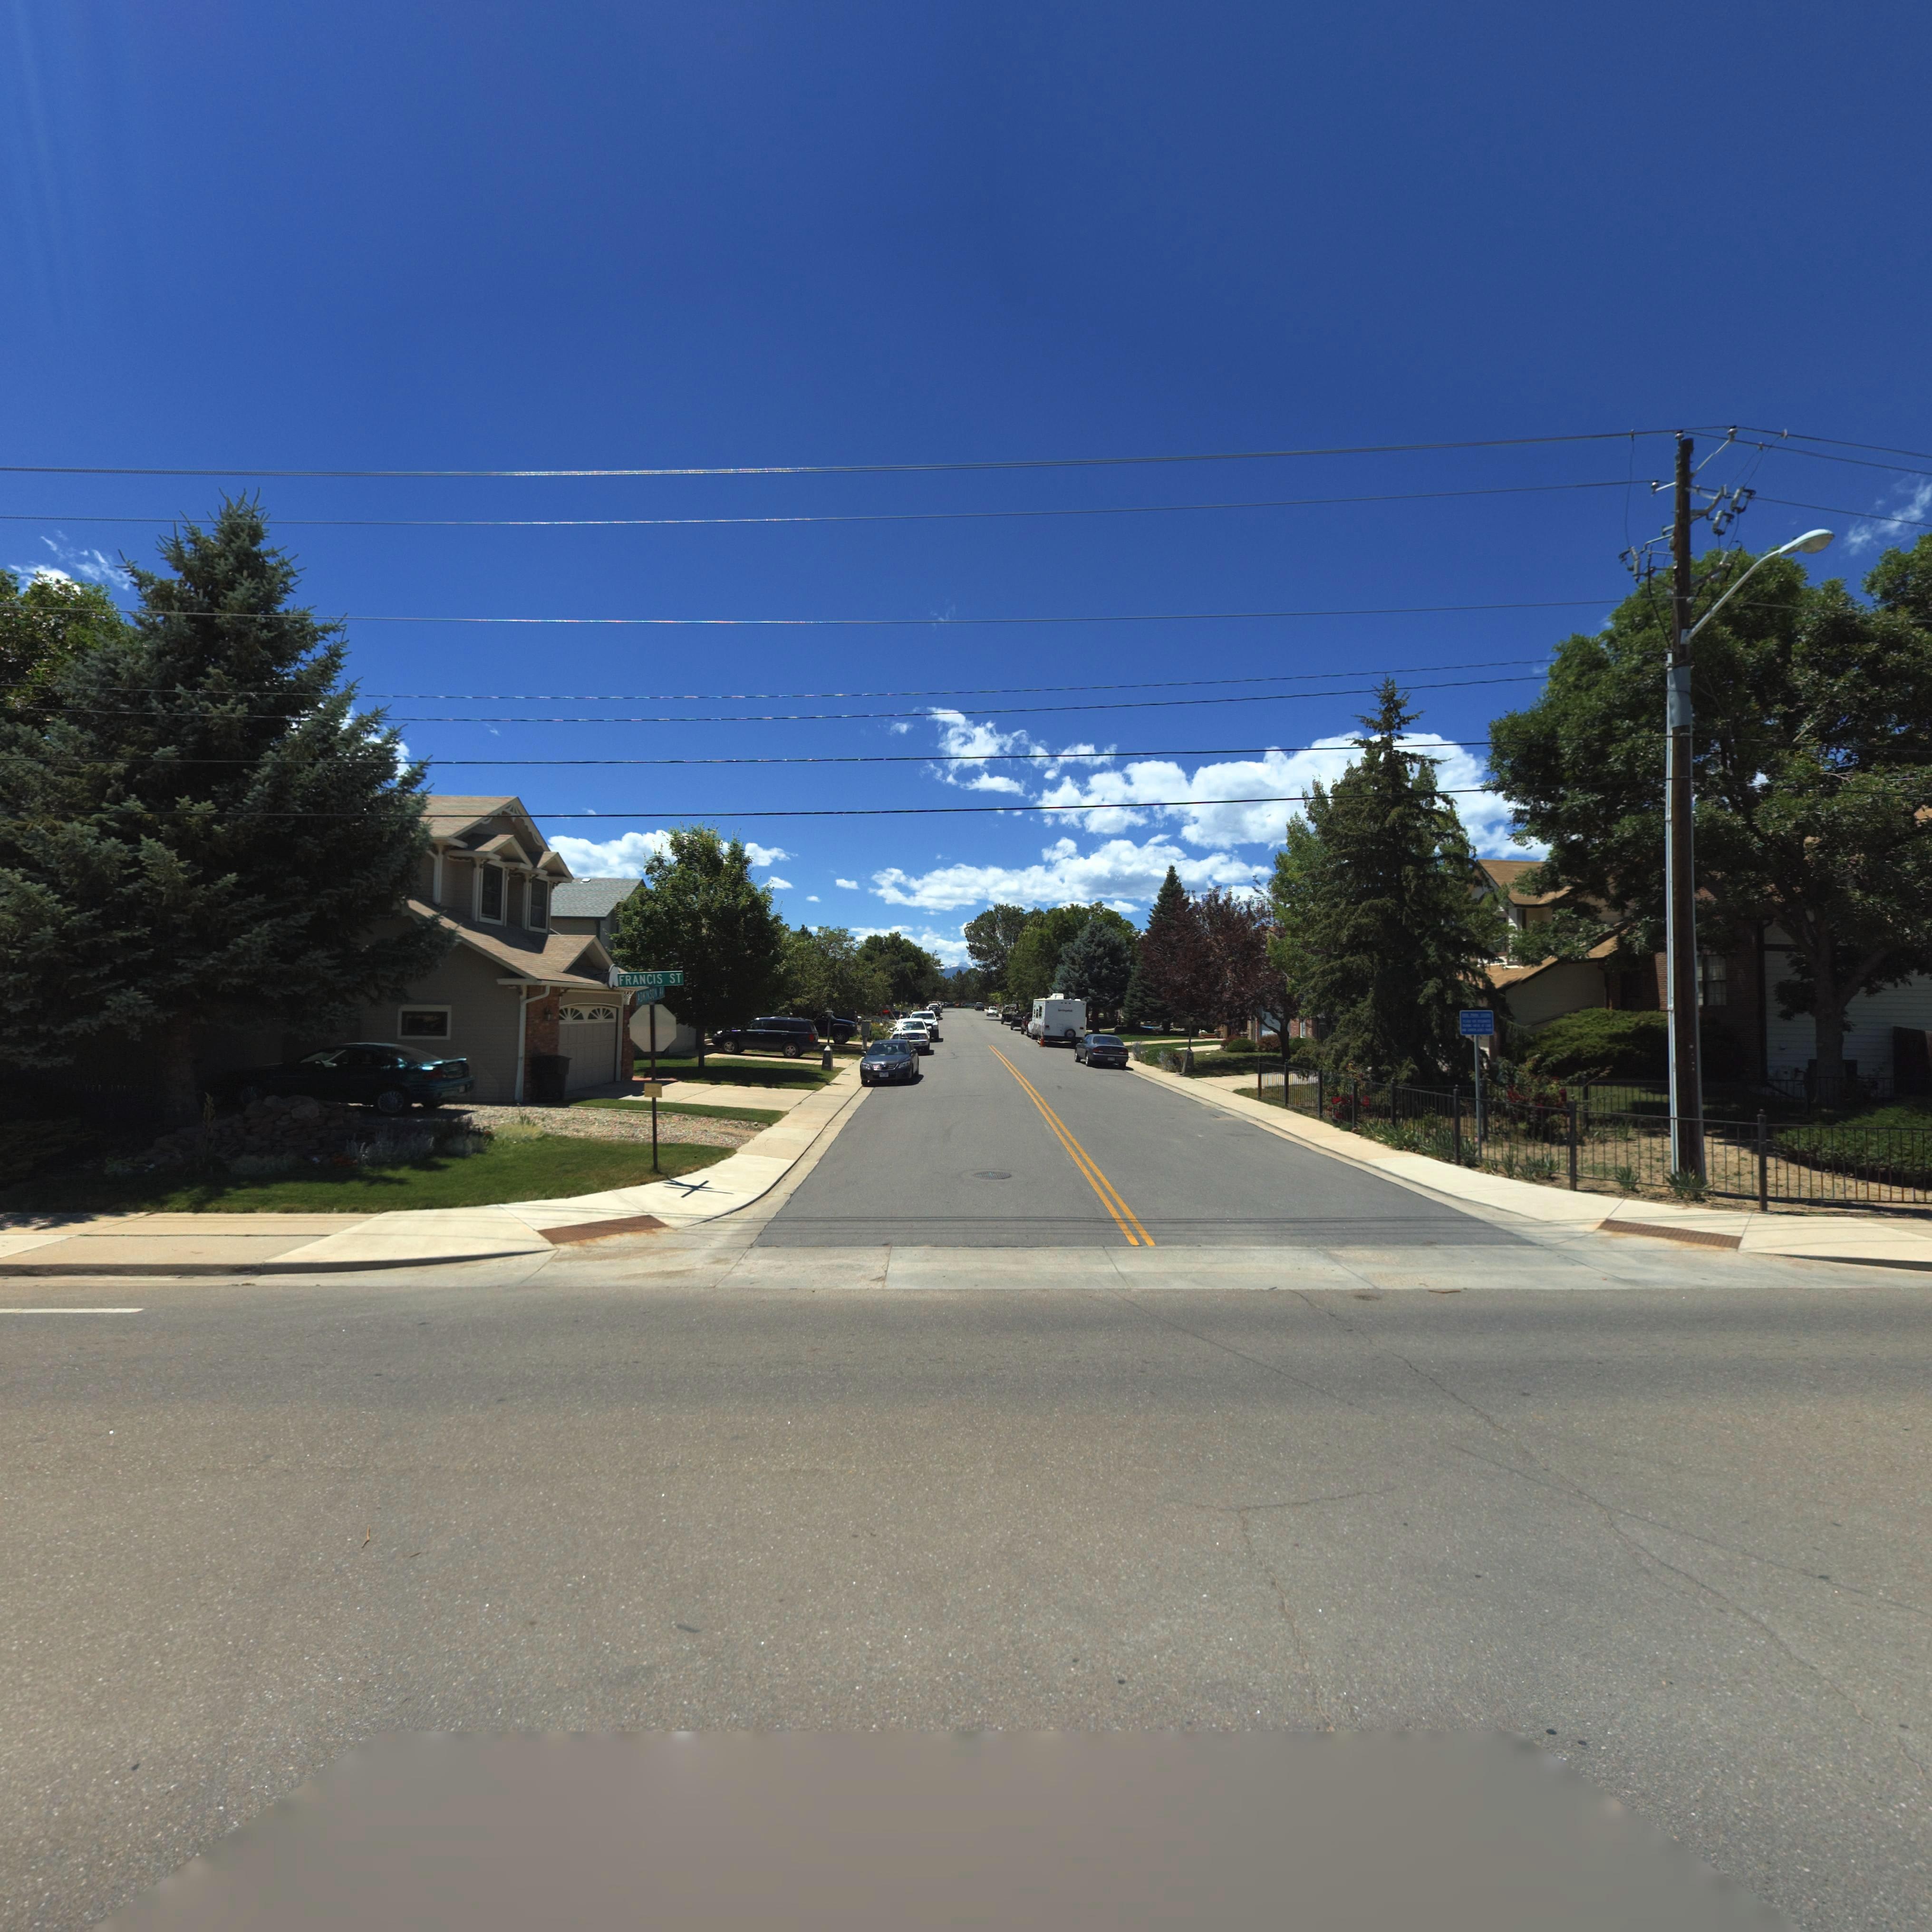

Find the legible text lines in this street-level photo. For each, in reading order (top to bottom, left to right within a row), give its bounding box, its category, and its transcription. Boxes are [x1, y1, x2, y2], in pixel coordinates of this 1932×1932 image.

[618, 972, 682, 986] StreetName: FRANCIS ST